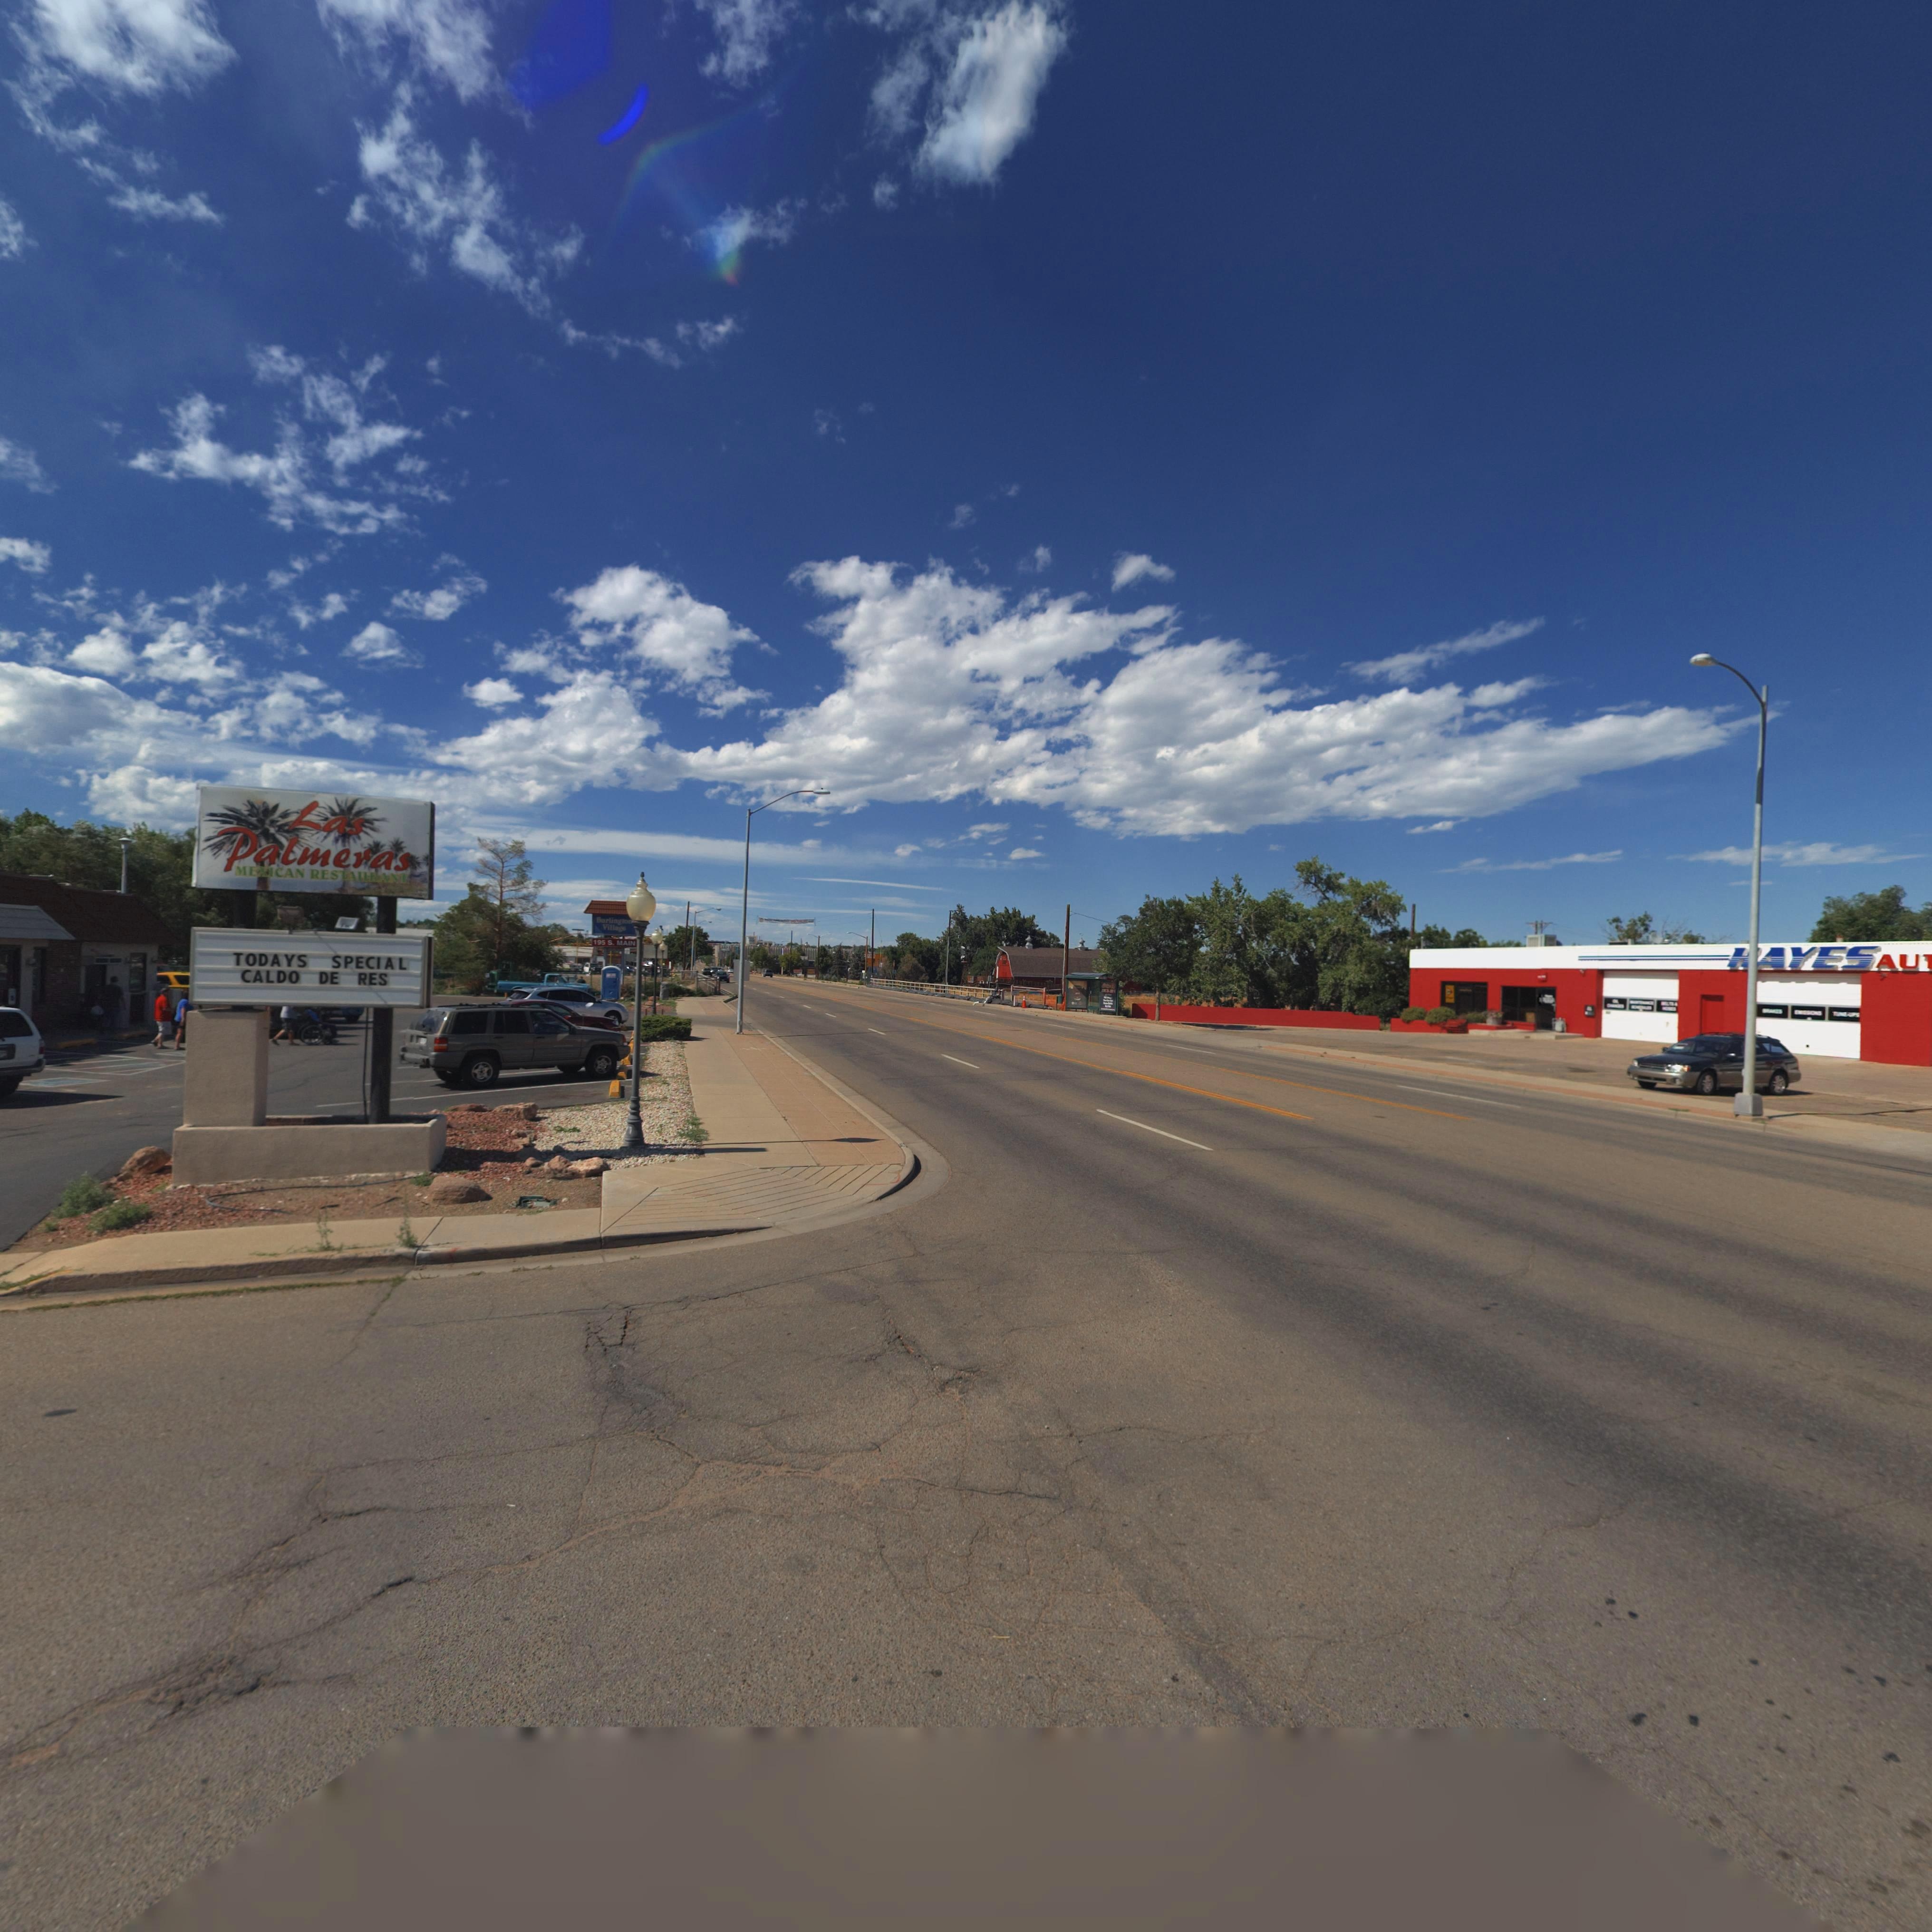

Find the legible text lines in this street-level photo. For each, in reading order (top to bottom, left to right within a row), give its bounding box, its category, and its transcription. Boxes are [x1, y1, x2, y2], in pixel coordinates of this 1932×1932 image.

[285, 799, 365, 836] BusinessName: Las
[215, 824, 411, 873] BusinessName: Palmeras
[593, 939, 606, 945] StreetNumber: 195
[607, 939, 636, 946] StreetName: S. MAIN
[1725, 945, 1881, 969] BusinessName: HAYES
[1874, 953, 1920, 969] BusinessName: AU